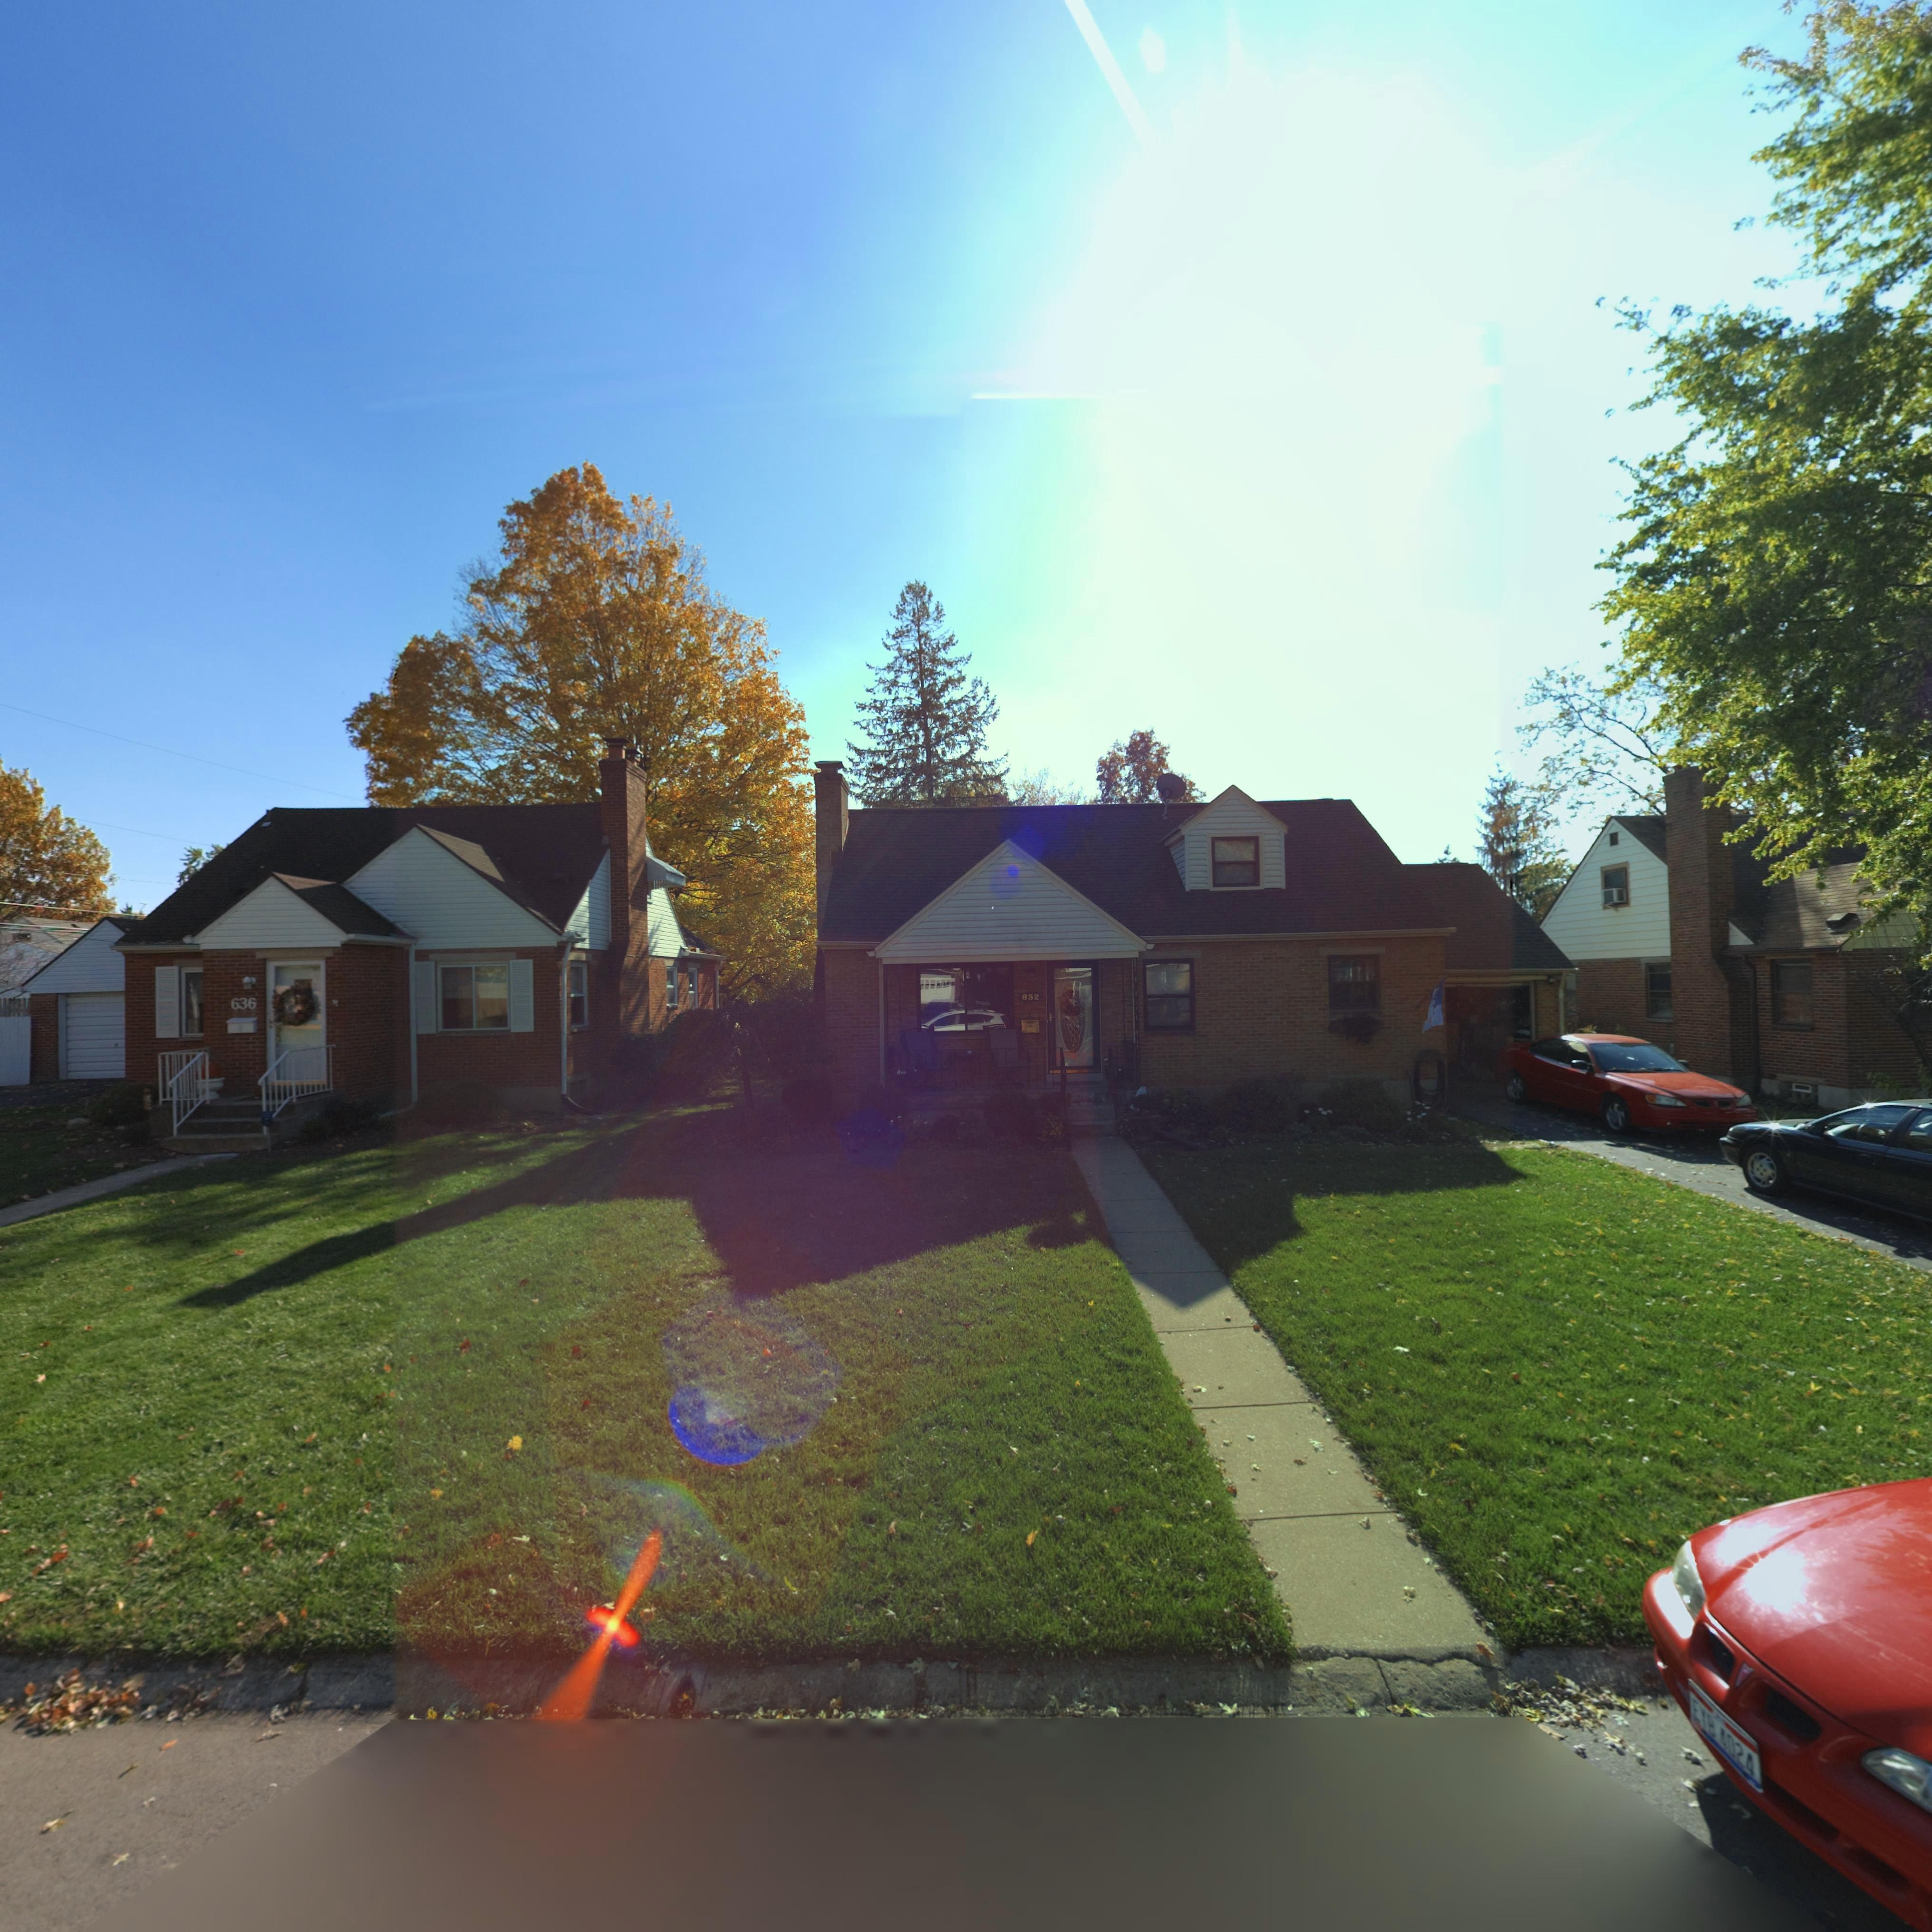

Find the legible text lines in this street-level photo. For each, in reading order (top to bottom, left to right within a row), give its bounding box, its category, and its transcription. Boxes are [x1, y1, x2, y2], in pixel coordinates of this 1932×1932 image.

[230, 997, 258, 1011] StreetNumber: 636
[1021, 994, 1039, 1001] StreetNumber: 632
[1692, 1696, 1755, 1779] None: EYB*4024